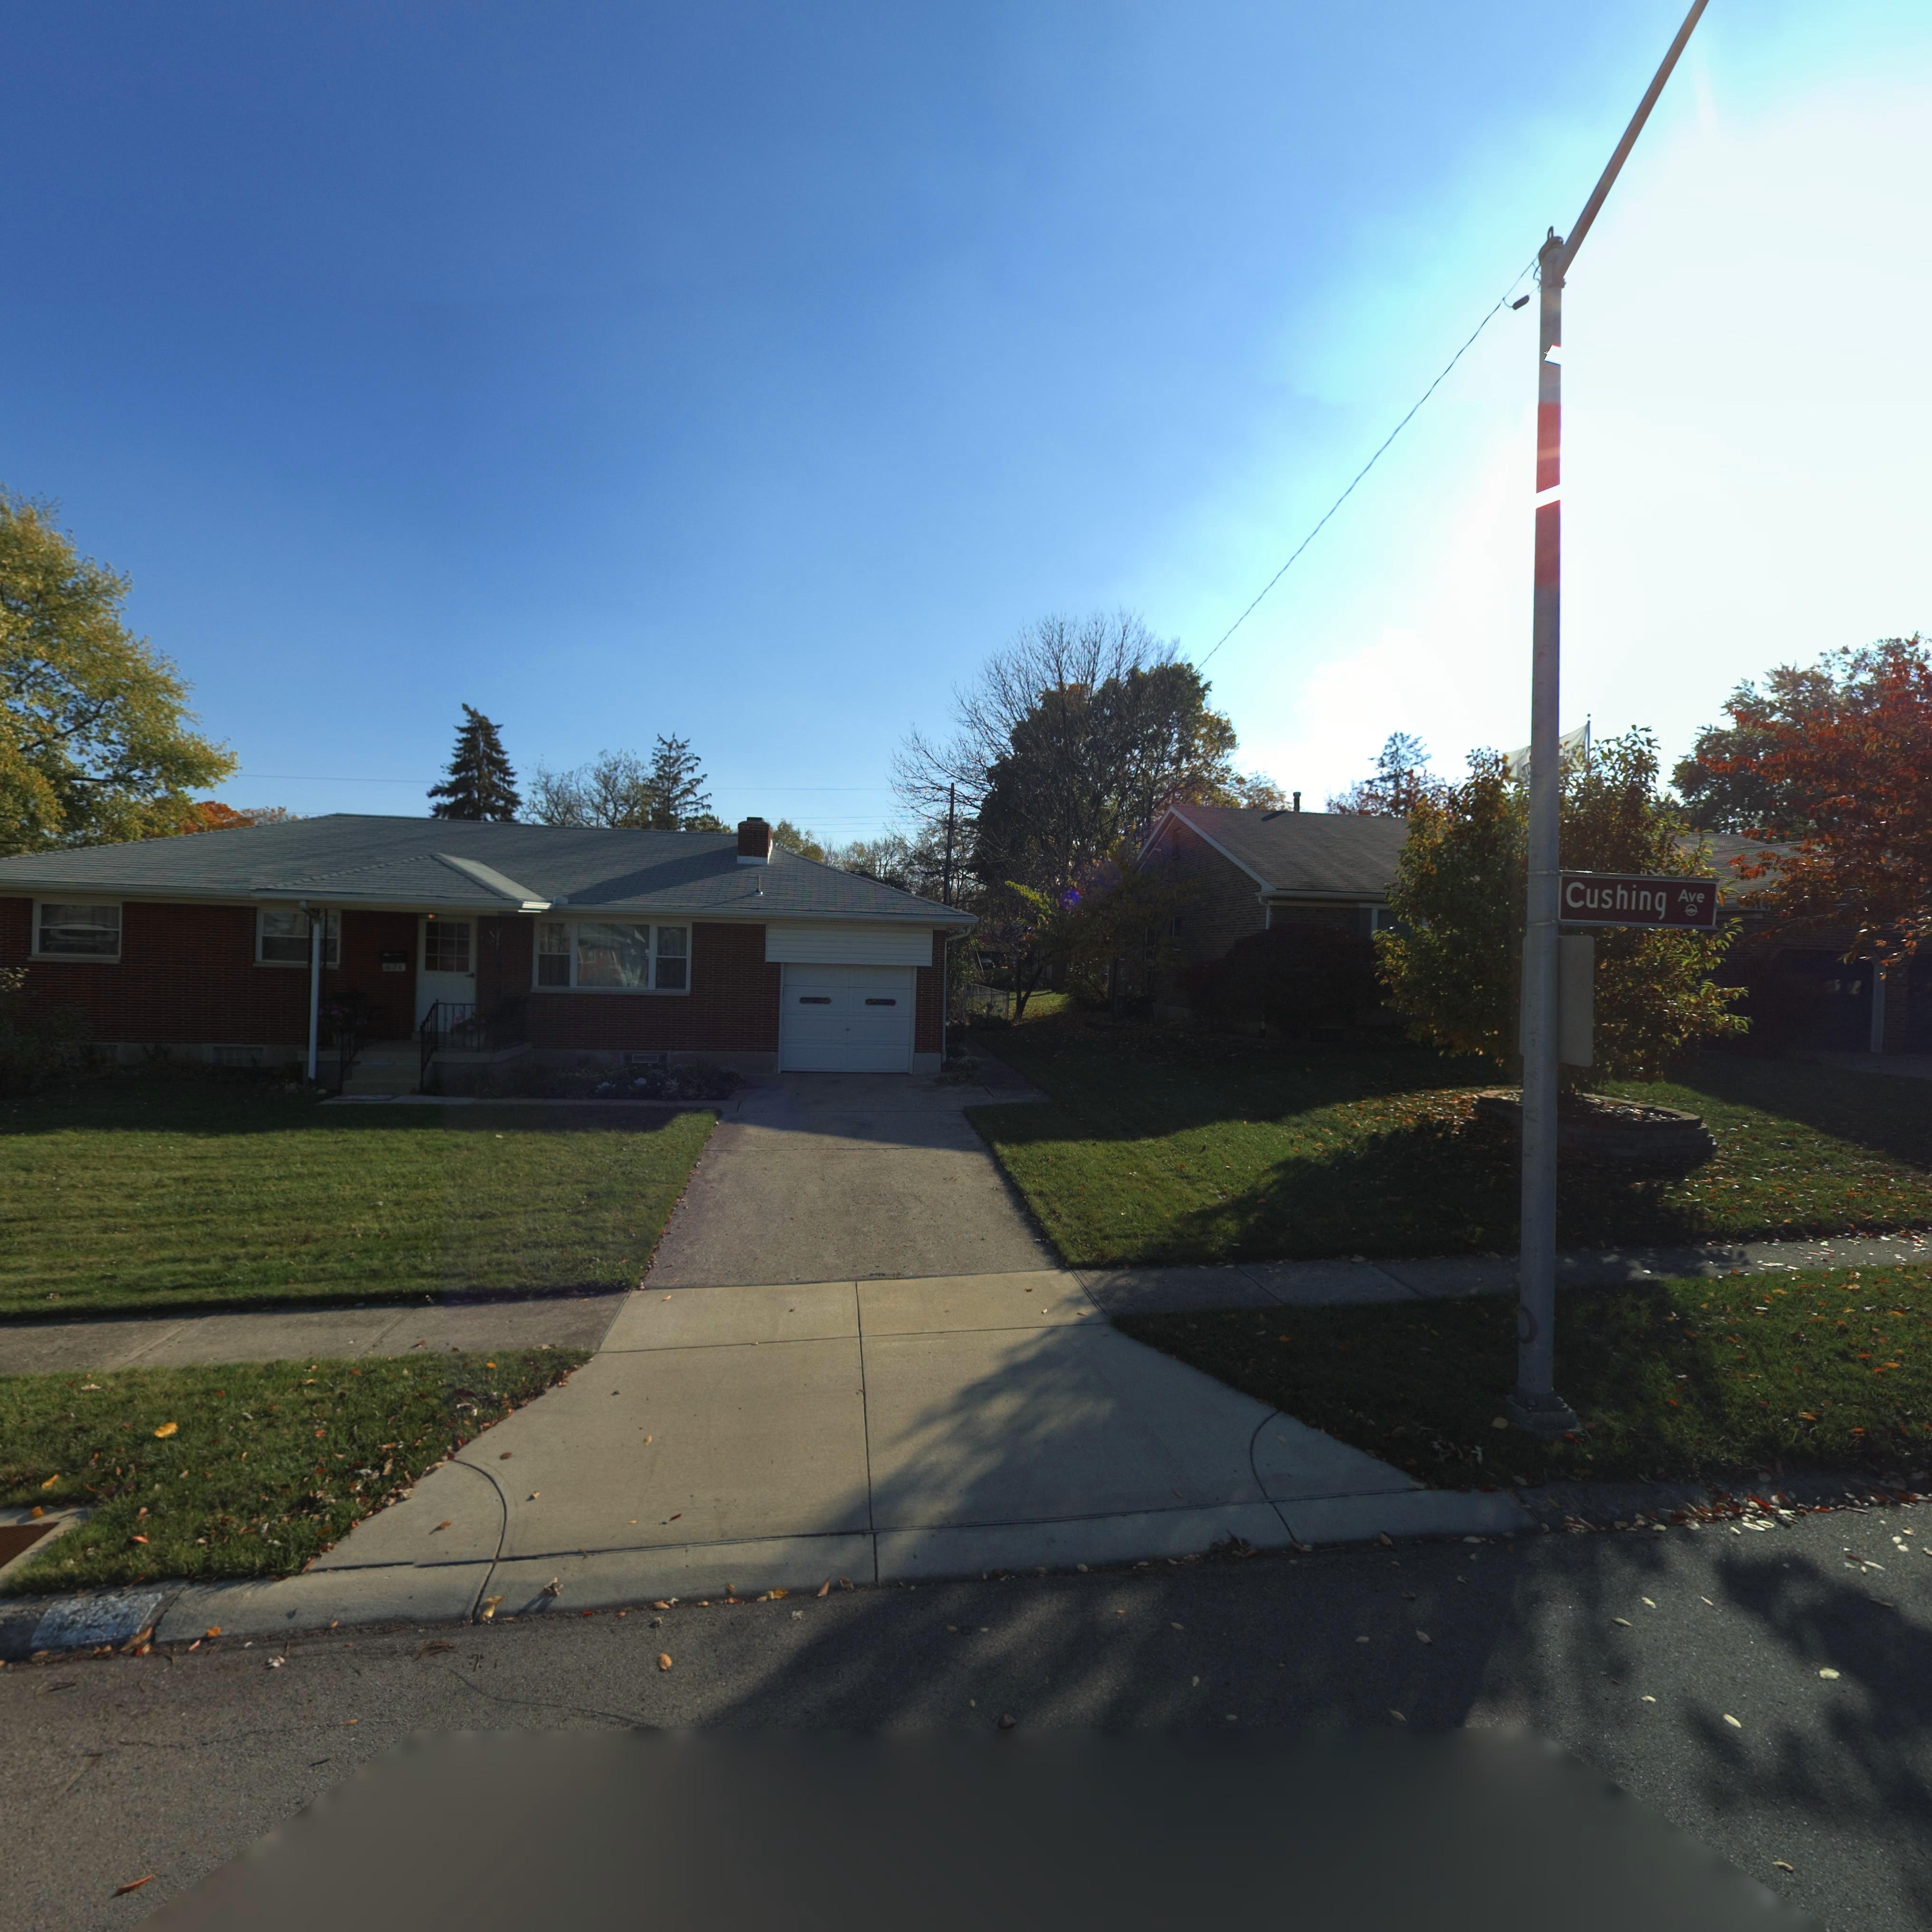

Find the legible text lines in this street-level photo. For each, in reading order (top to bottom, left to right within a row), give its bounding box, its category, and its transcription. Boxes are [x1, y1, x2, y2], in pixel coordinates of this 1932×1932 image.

[1564, 881, 1706, 922] StreetName: Cushing Ave
[386, 963, 402, 972] StreetNumber: 62*
[60, 1604, 138, 1631] StreetNumber: 62*